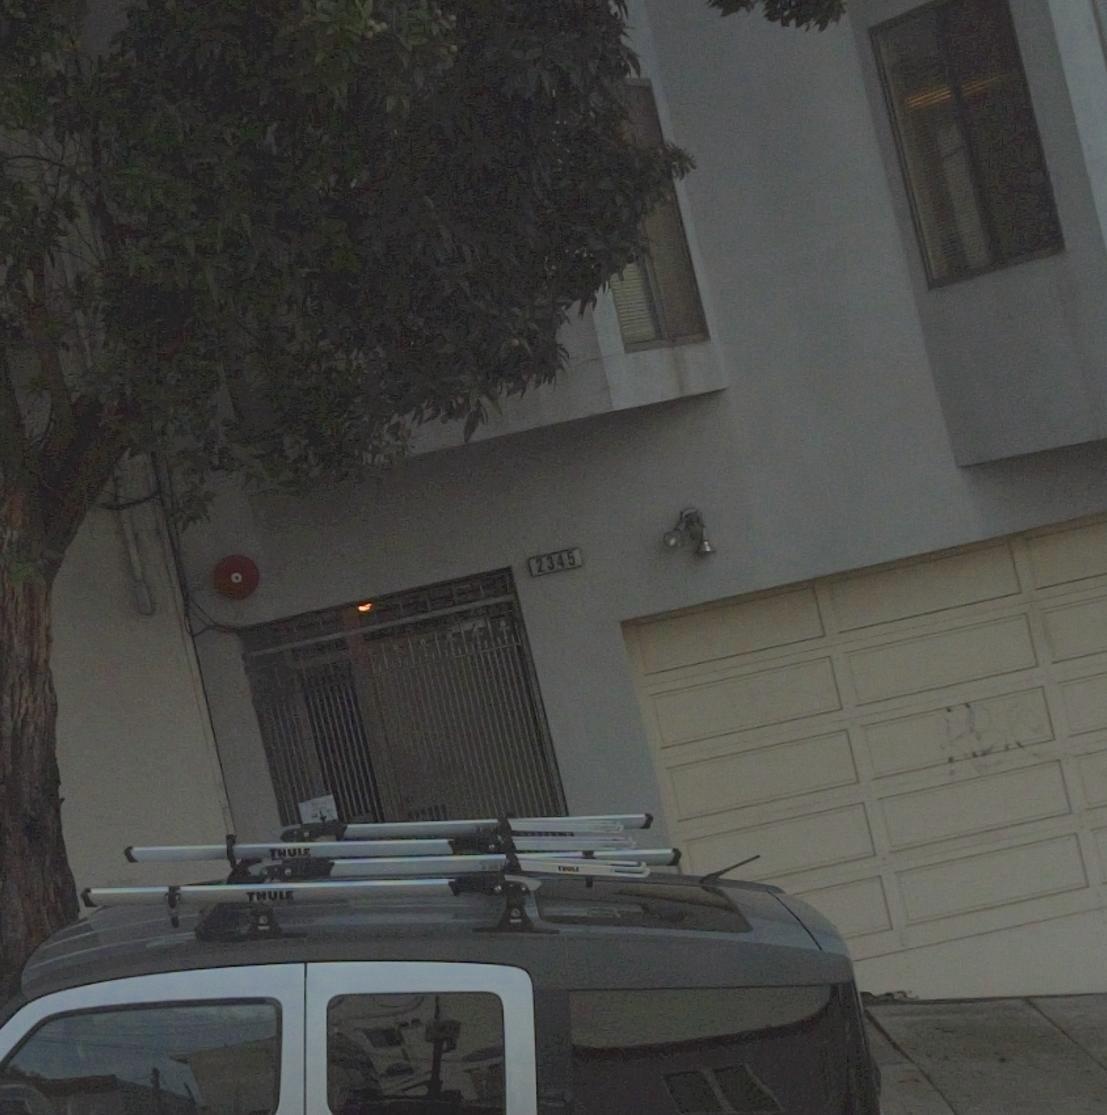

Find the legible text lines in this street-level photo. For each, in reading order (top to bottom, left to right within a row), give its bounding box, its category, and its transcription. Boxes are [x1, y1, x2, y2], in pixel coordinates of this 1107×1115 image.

[533, 549, 577, 575] StreetNumber: 2345
[266, 846, 313, 860] None: THULE
[243, 889, 298, 903] None: THULE